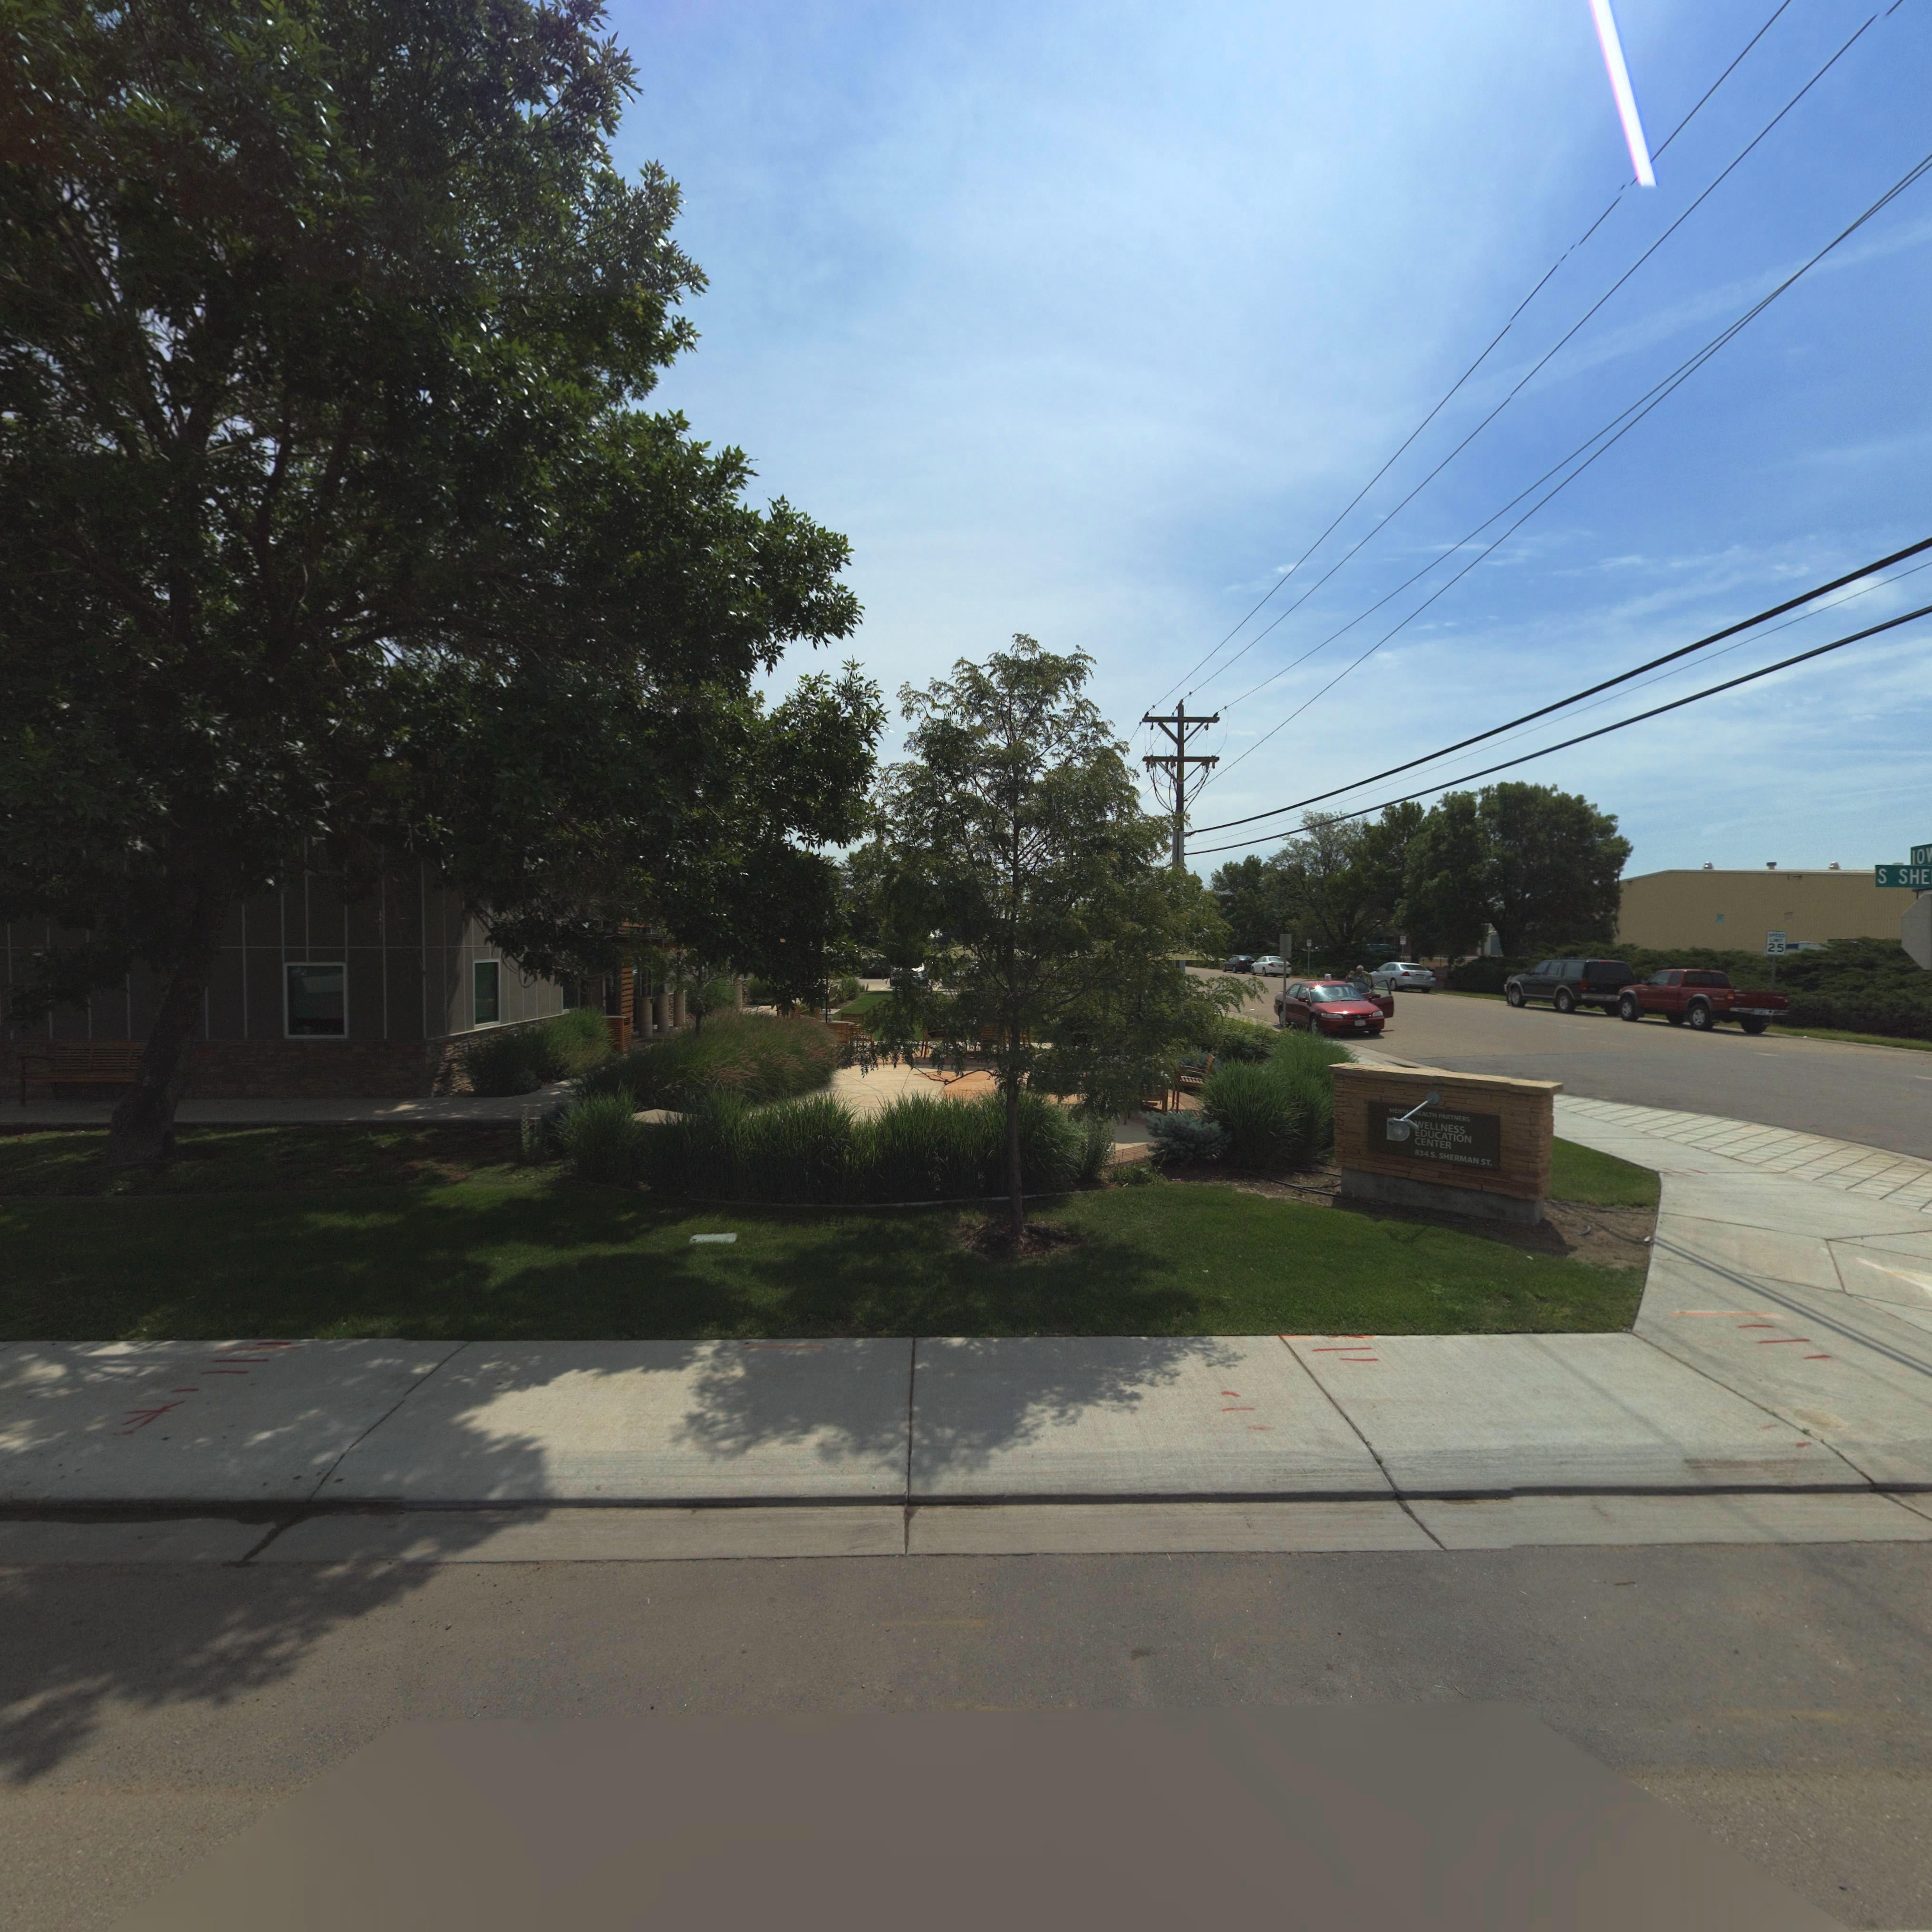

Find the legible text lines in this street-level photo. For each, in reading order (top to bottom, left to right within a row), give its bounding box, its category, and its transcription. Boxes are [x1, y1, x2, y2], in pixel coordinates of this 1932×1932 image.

[1911, 848, 1926, 866] StreetName: IO
[1876, 867, 1931, 885] StreetName: S SHE
[1388, 1107, 1471, 1122] BusinessName: MENTA**HEALTH PARTNERS
[1414, 1119, 1466, 1134] BusinessName: WELLNESS
[1414, 1137, 1452, 1150] BusinessName: CENTER
[1414, 1128, 1472, 1144] BusinessName: EDUCATION
[1413, 1149, 1429, 1157] StreetNumber: 834
[1429, 1150, 1493, 1167] StreetName: S. SHERMAN ST.